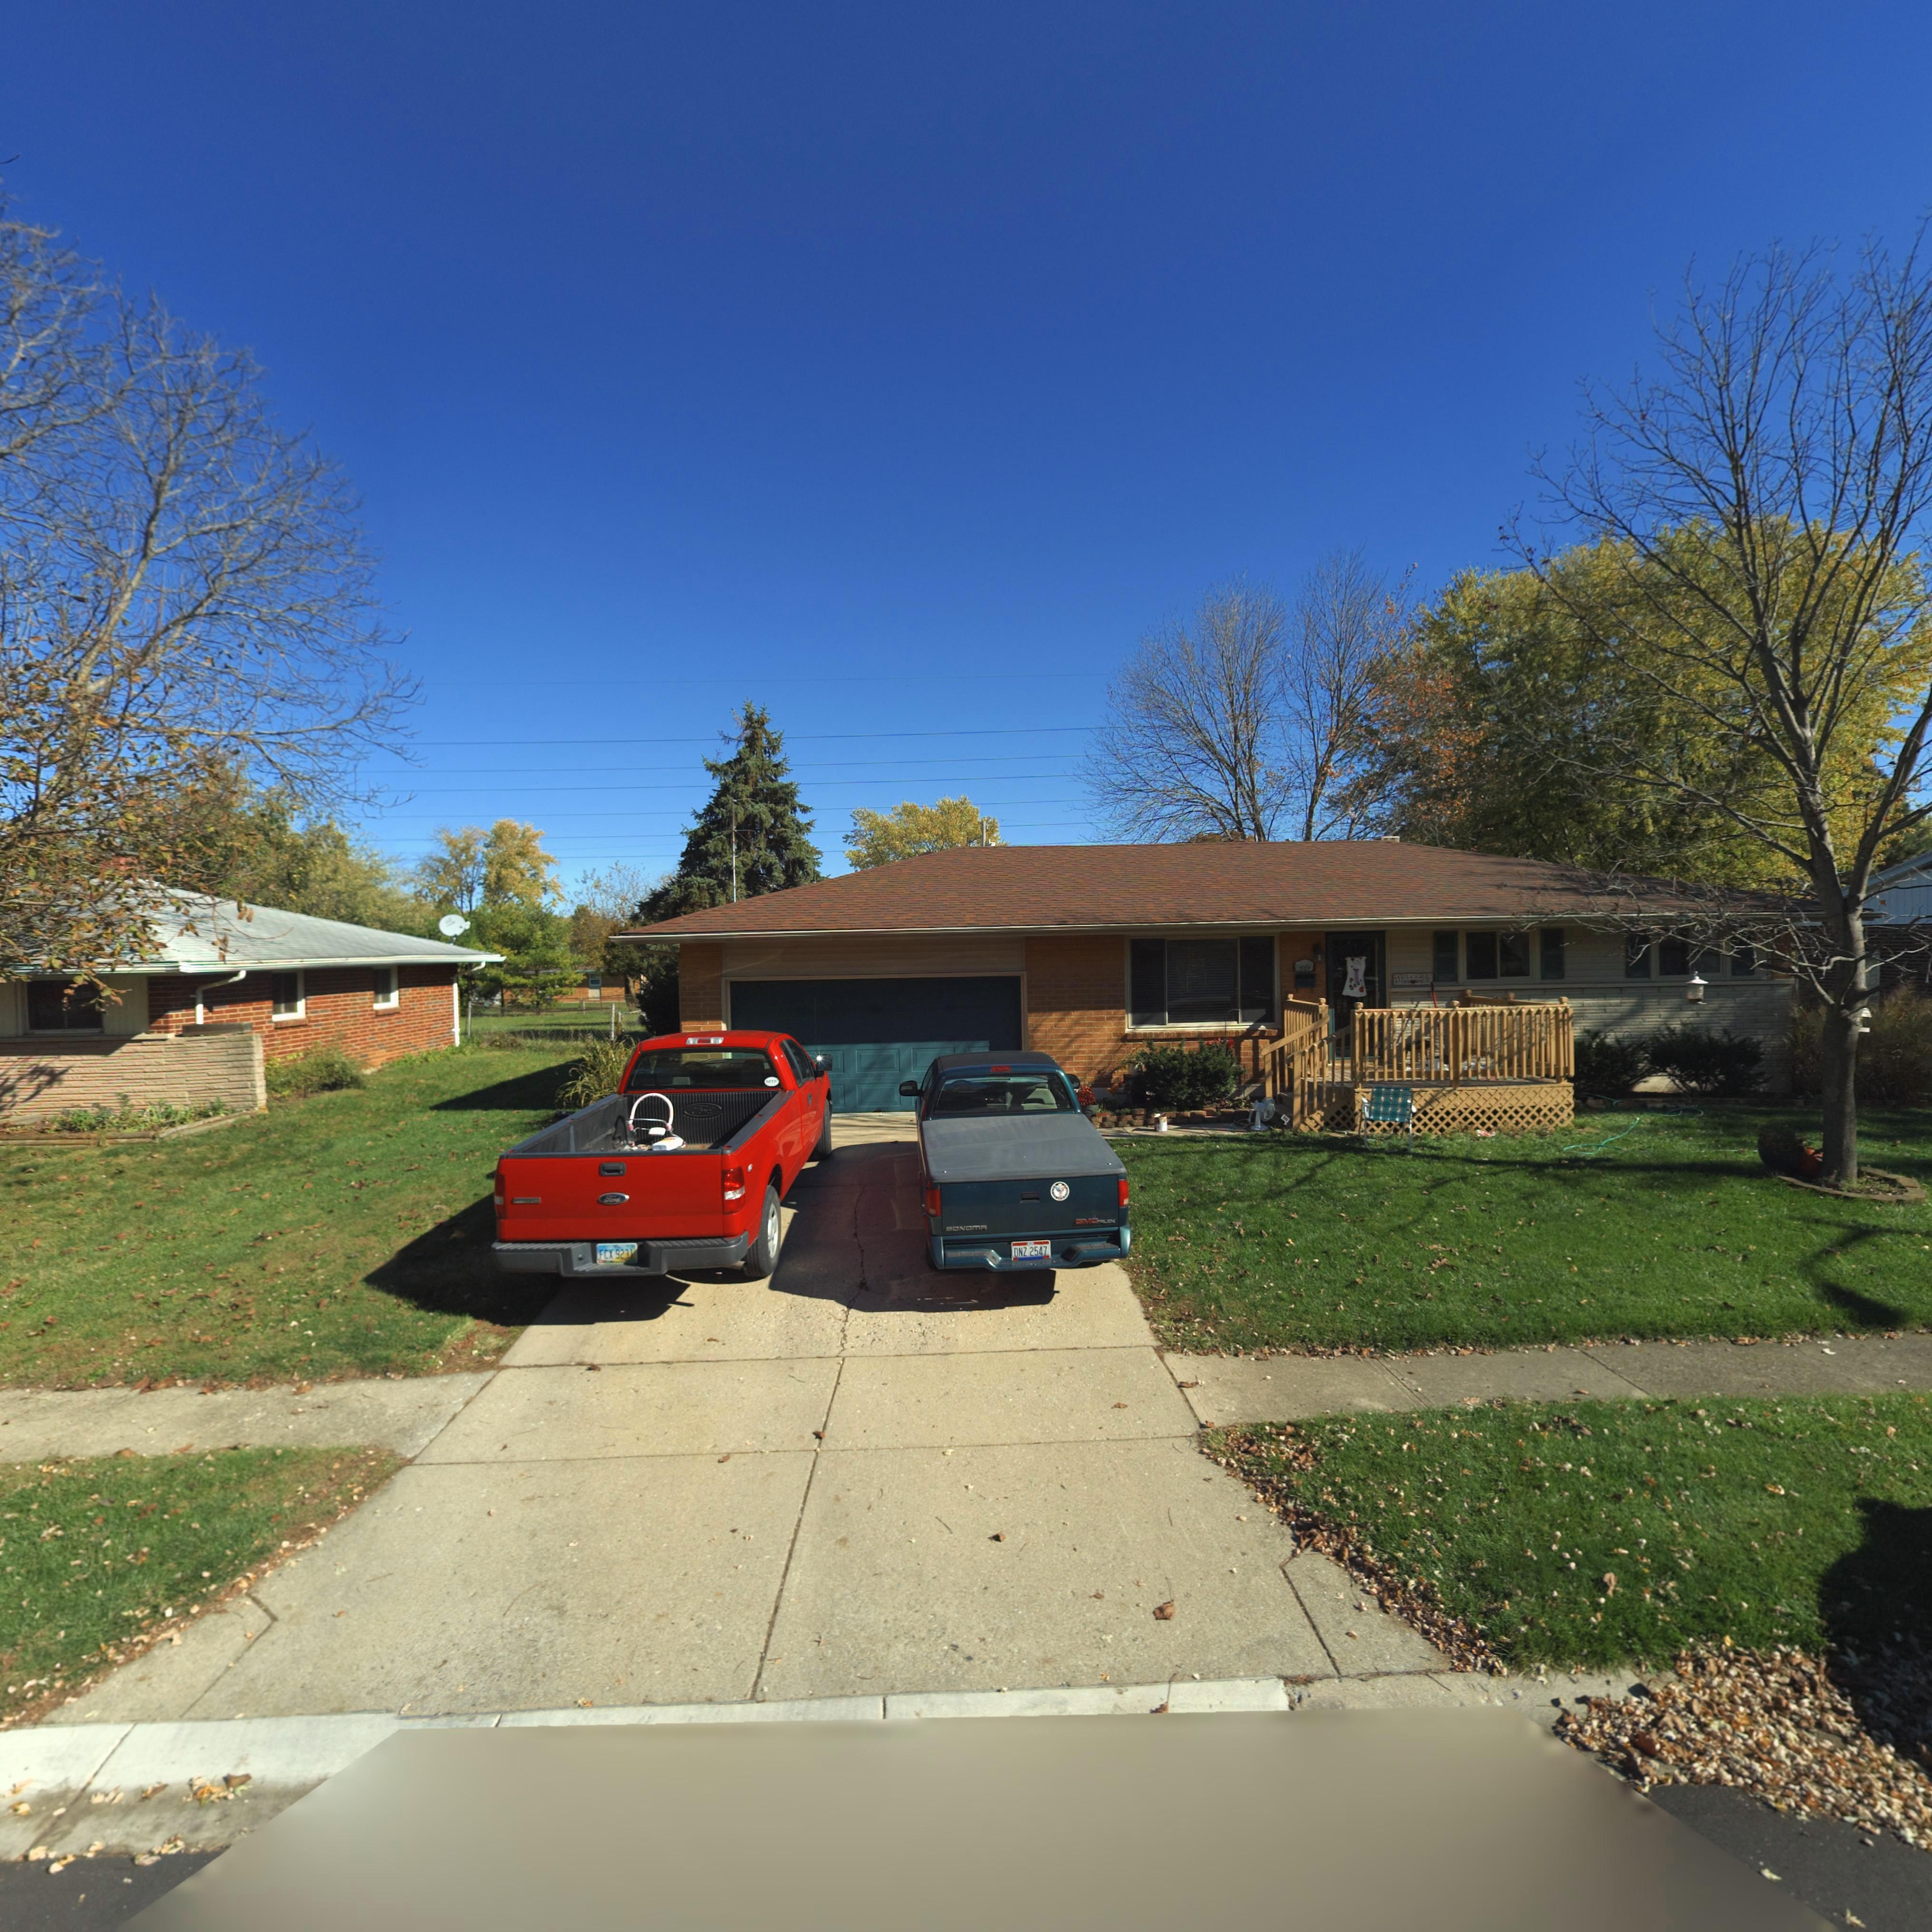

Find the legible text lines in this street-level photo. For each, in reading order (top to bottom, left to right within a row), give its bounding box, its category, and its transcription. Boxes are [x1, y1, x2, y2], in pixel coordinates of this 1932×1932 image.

[1299, 966, 1311, 971] StreetNumber: 207